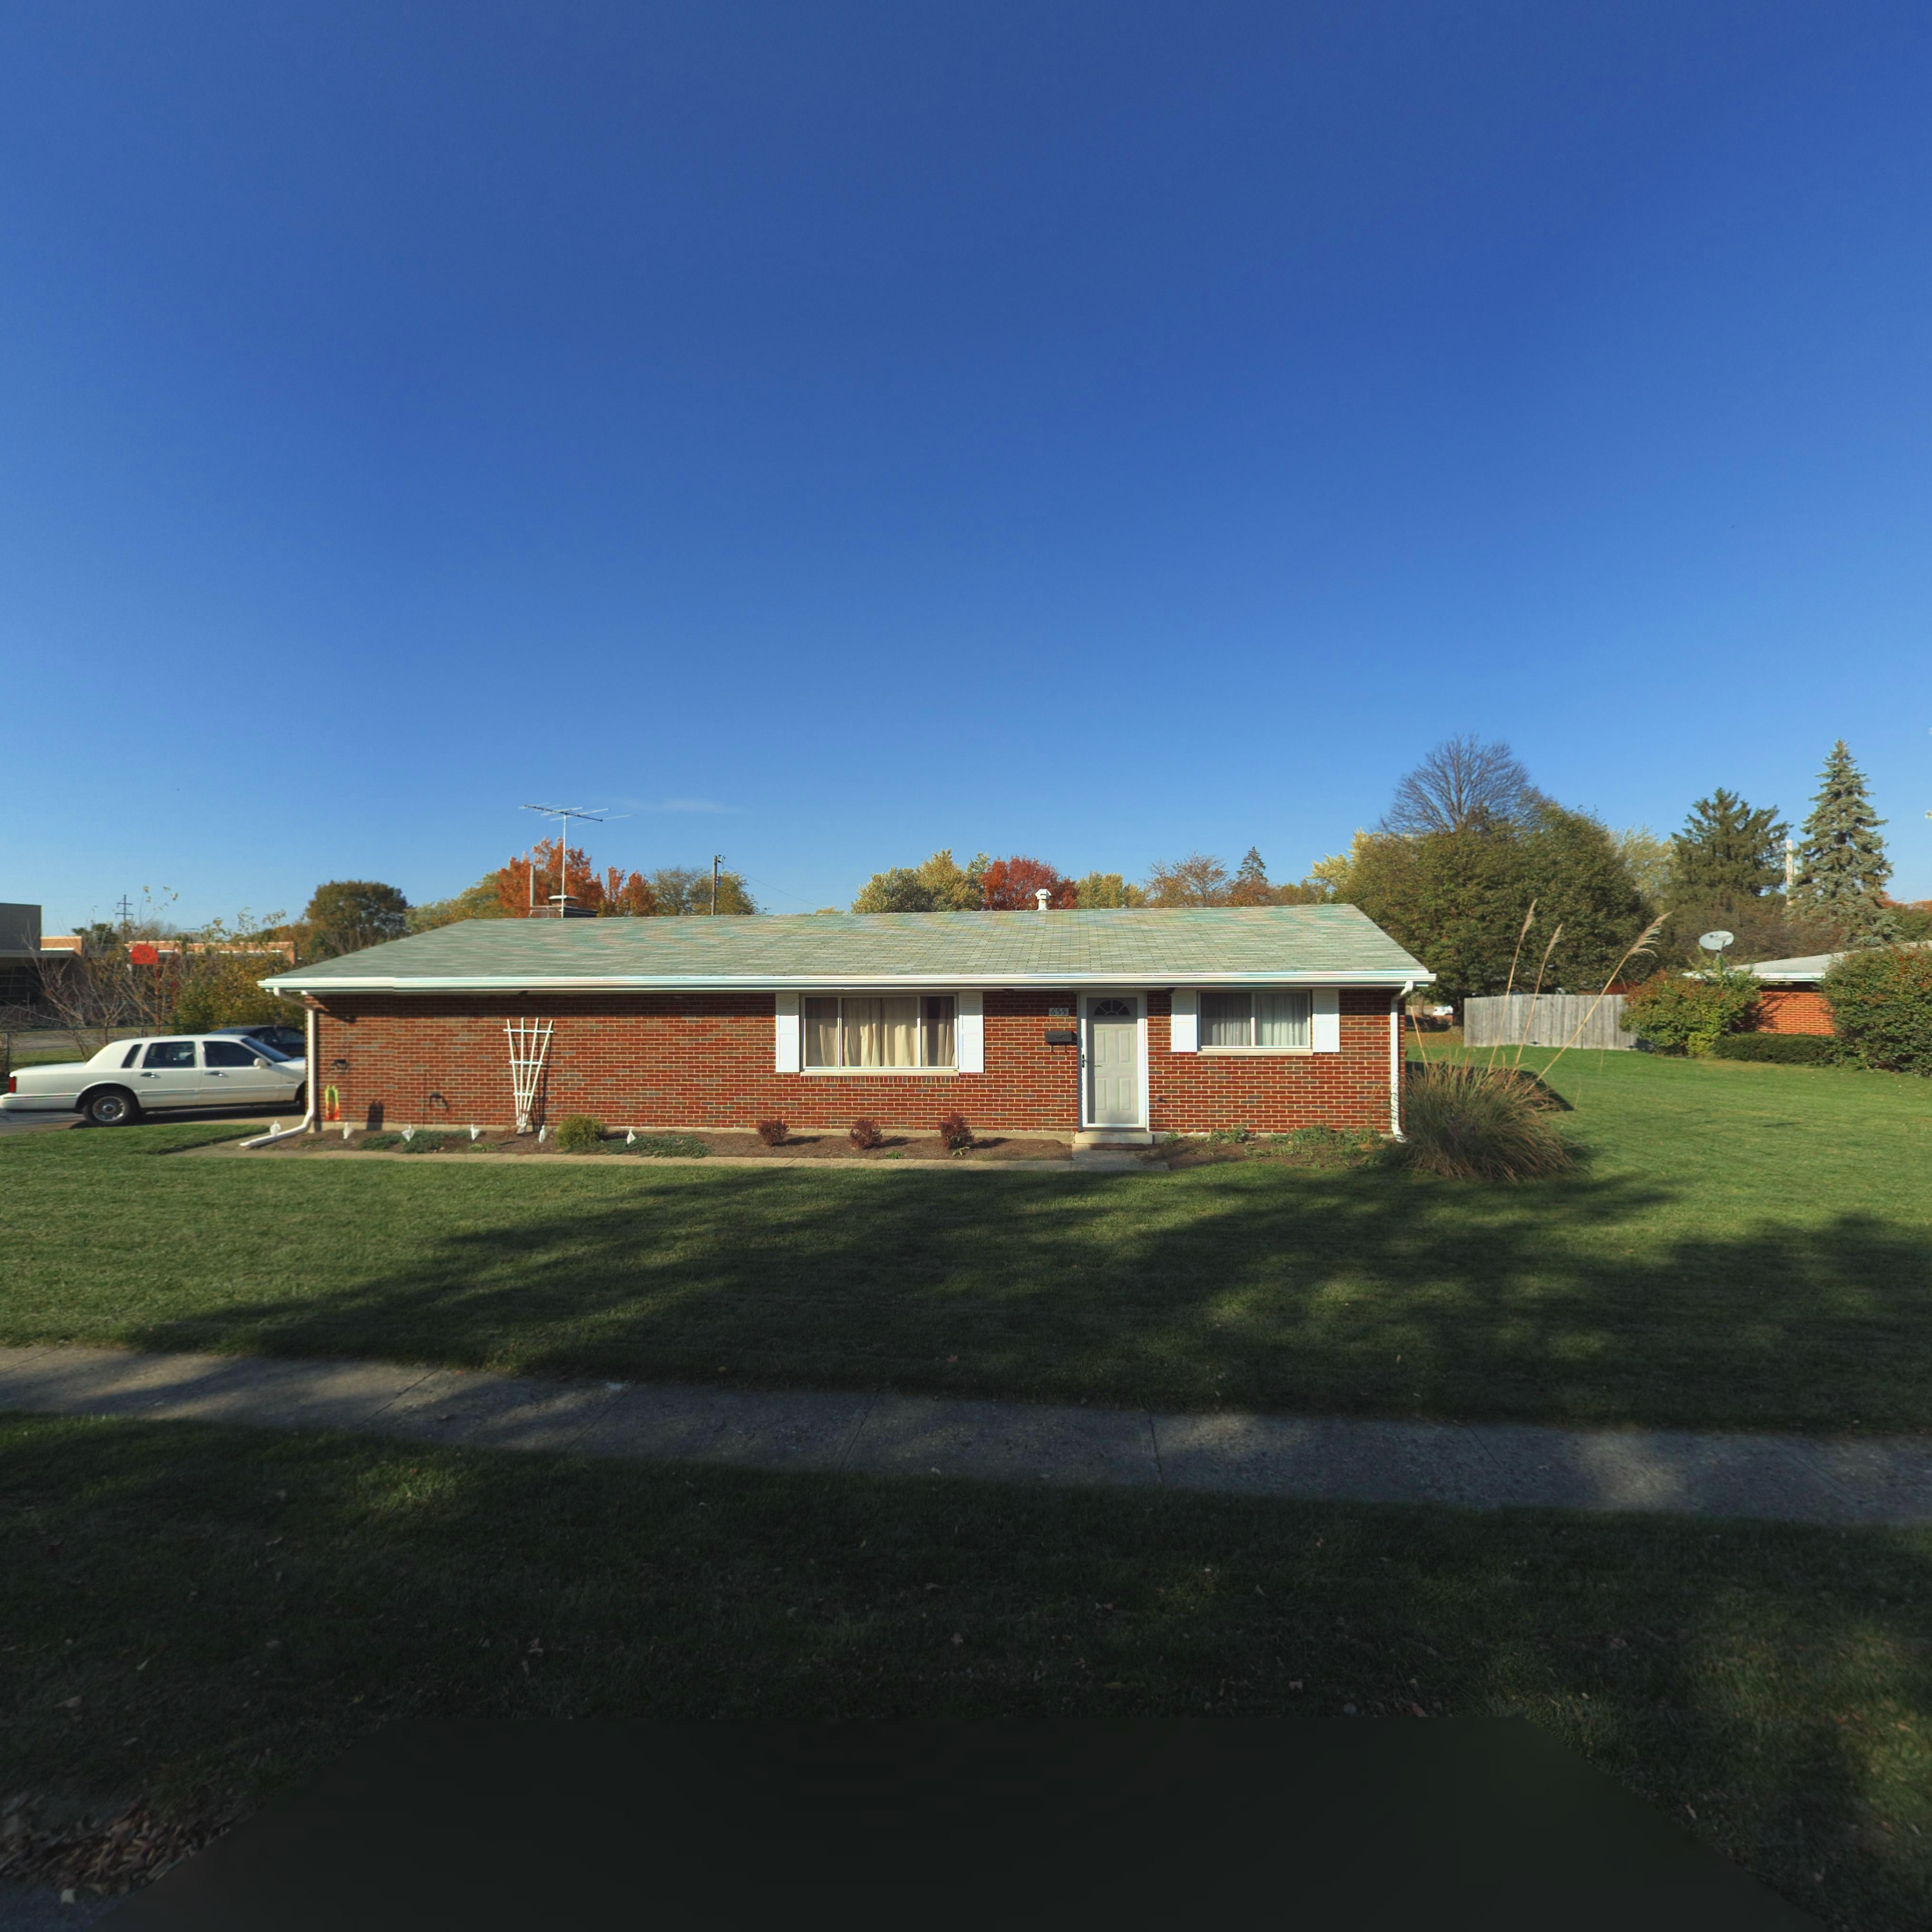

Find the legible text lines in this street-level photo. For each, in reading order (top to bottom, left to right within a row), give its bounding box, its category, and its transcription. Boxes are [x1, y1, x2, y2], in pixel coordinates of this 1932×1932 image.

[1050, 1008, 1066, 1016] StreetNumber: 655